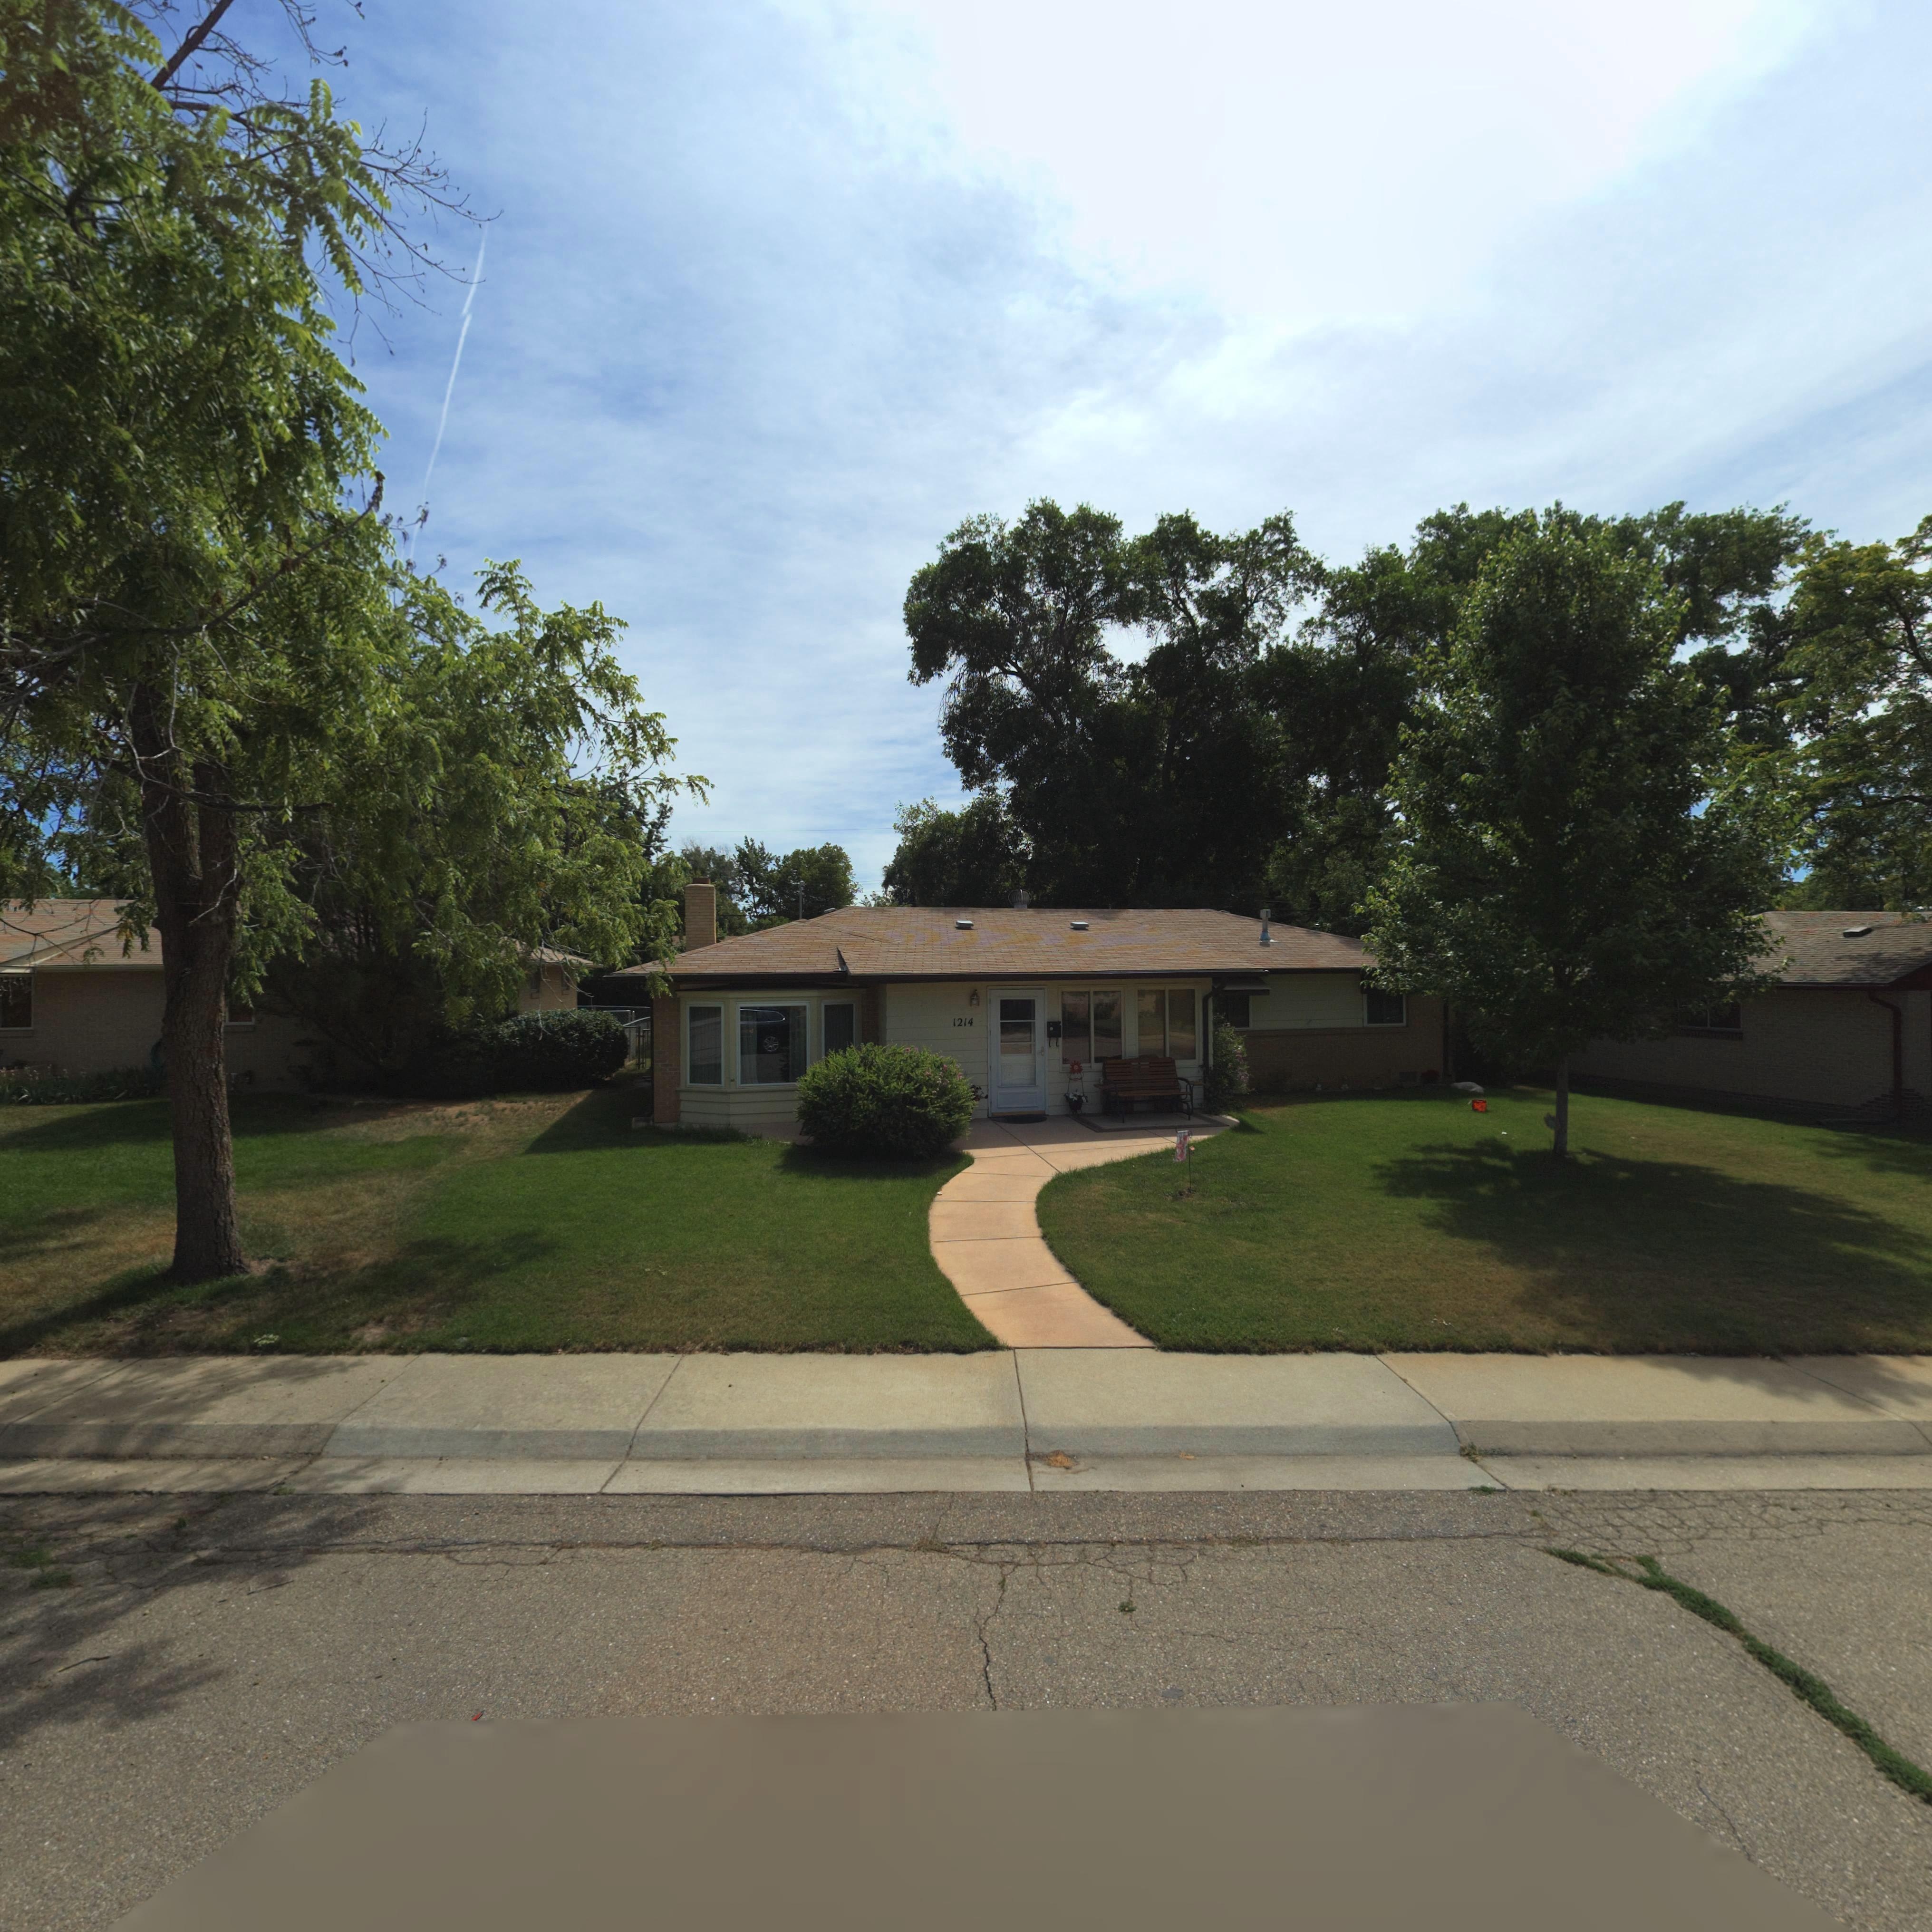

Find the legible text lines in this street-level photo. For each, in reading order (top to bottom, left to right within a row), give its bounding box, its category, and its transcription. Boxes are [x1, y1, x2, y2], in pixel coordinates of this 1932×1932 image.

[953, 1018, 973, 1026] StreetNumber: 1214